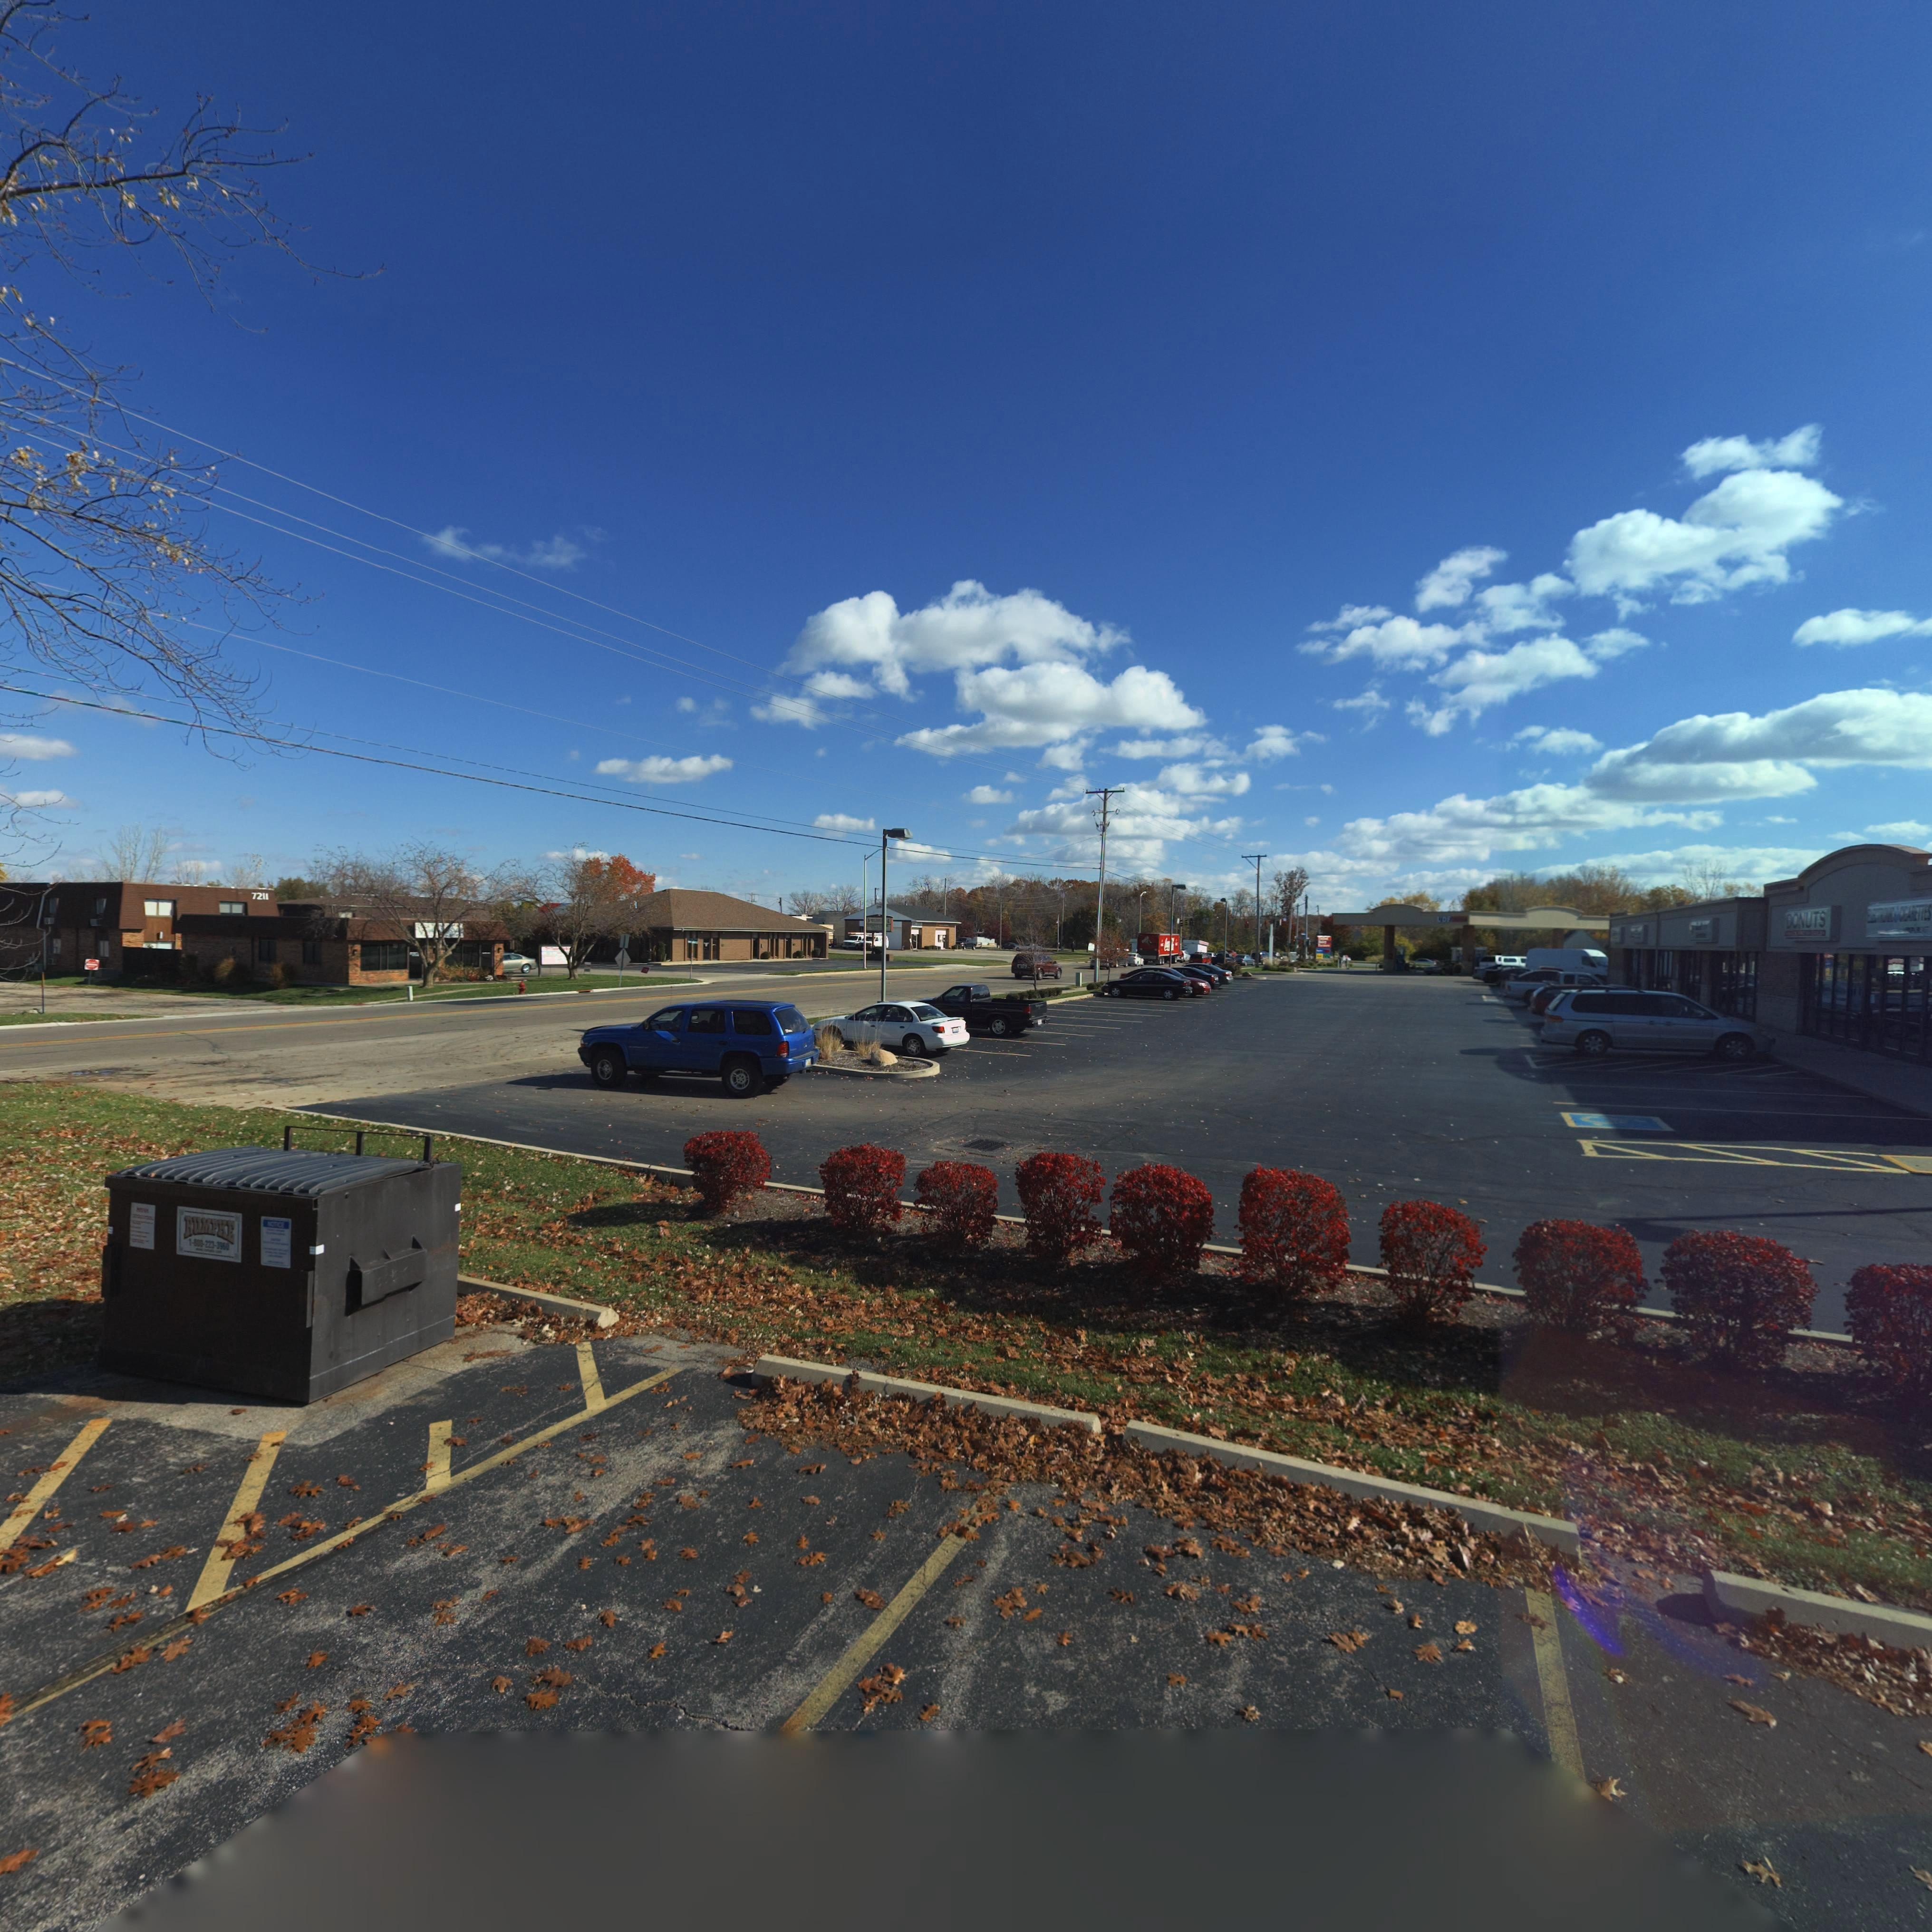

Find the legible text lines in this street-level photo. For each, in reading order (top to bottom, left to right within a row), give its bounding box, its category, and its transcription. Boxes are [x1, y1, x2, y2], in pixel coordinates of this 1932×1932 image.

[250, 891, 270, 901] StreetNumber: 7211